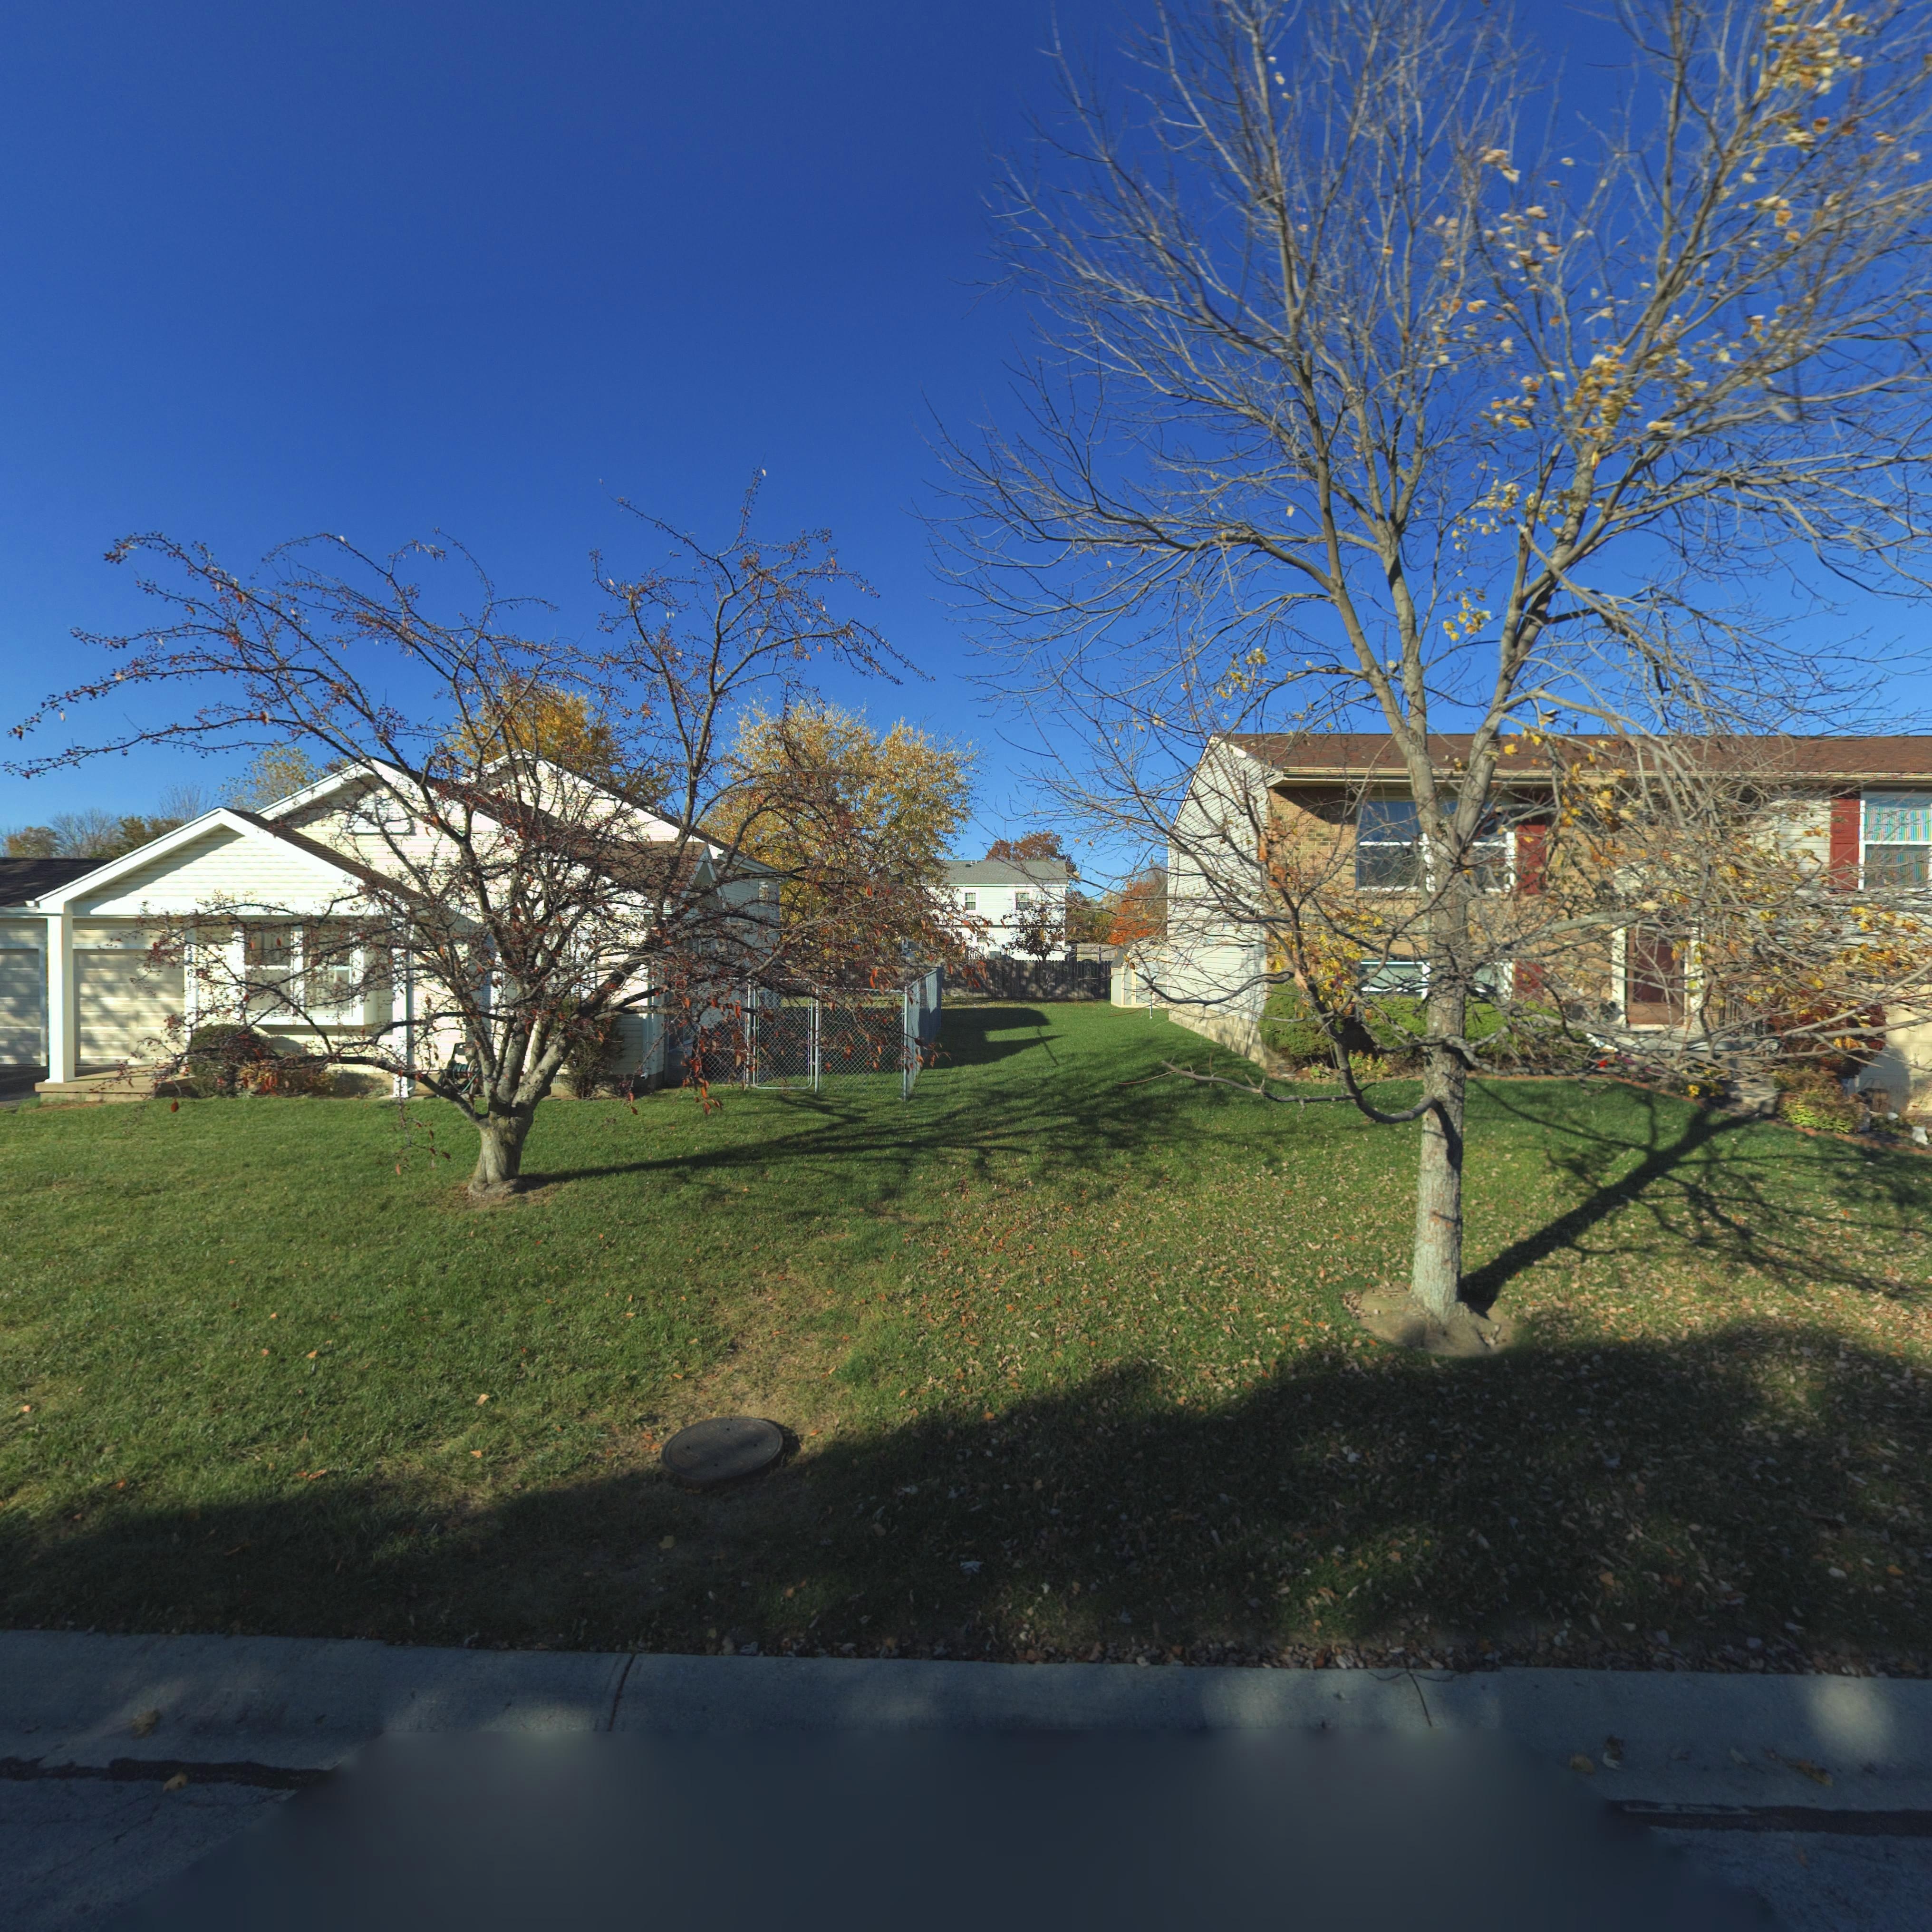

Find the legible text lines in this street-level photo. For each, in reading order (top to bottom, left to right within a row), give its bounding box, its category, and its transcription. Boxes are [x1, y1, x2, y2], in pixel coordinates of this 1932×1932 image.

[186, 967, 195, 991] StreetNumber: 61